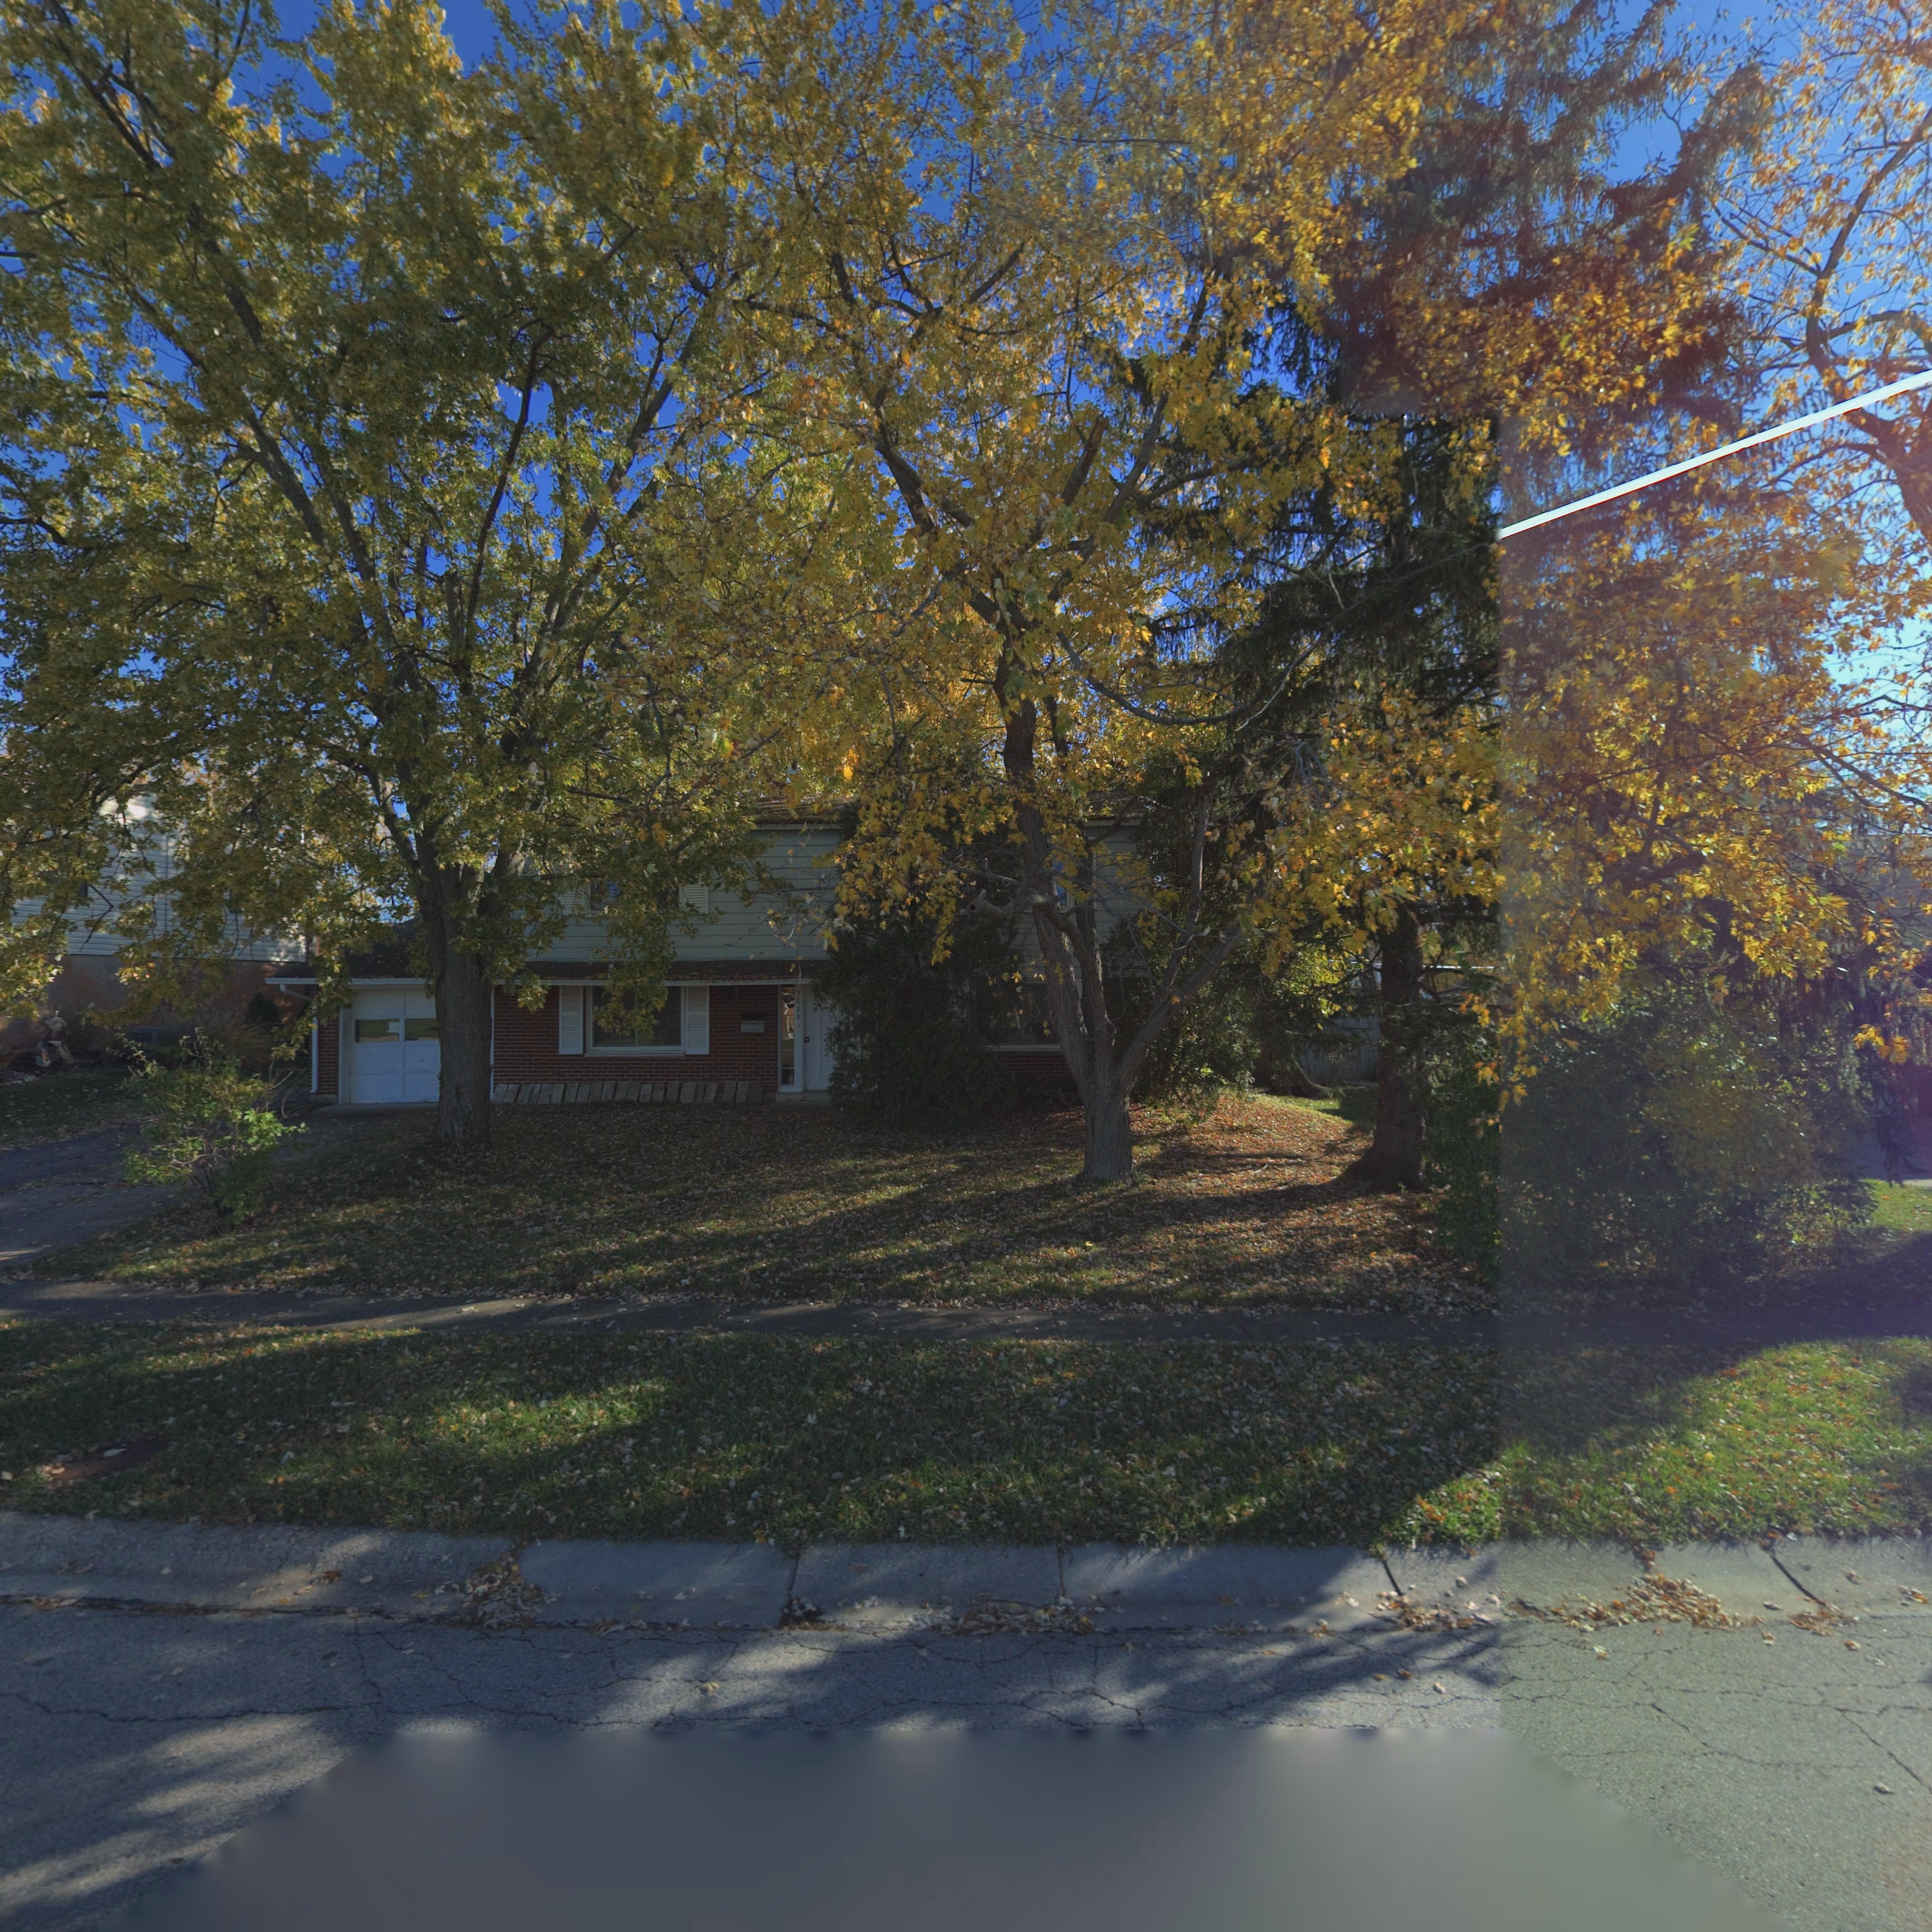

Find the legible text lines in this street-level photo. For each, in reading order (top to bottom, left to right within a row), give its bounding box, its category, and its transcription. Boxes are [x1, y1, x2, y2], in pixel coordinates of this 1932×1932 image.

[796, 989, 802, 1020] StreetNumber: 7626